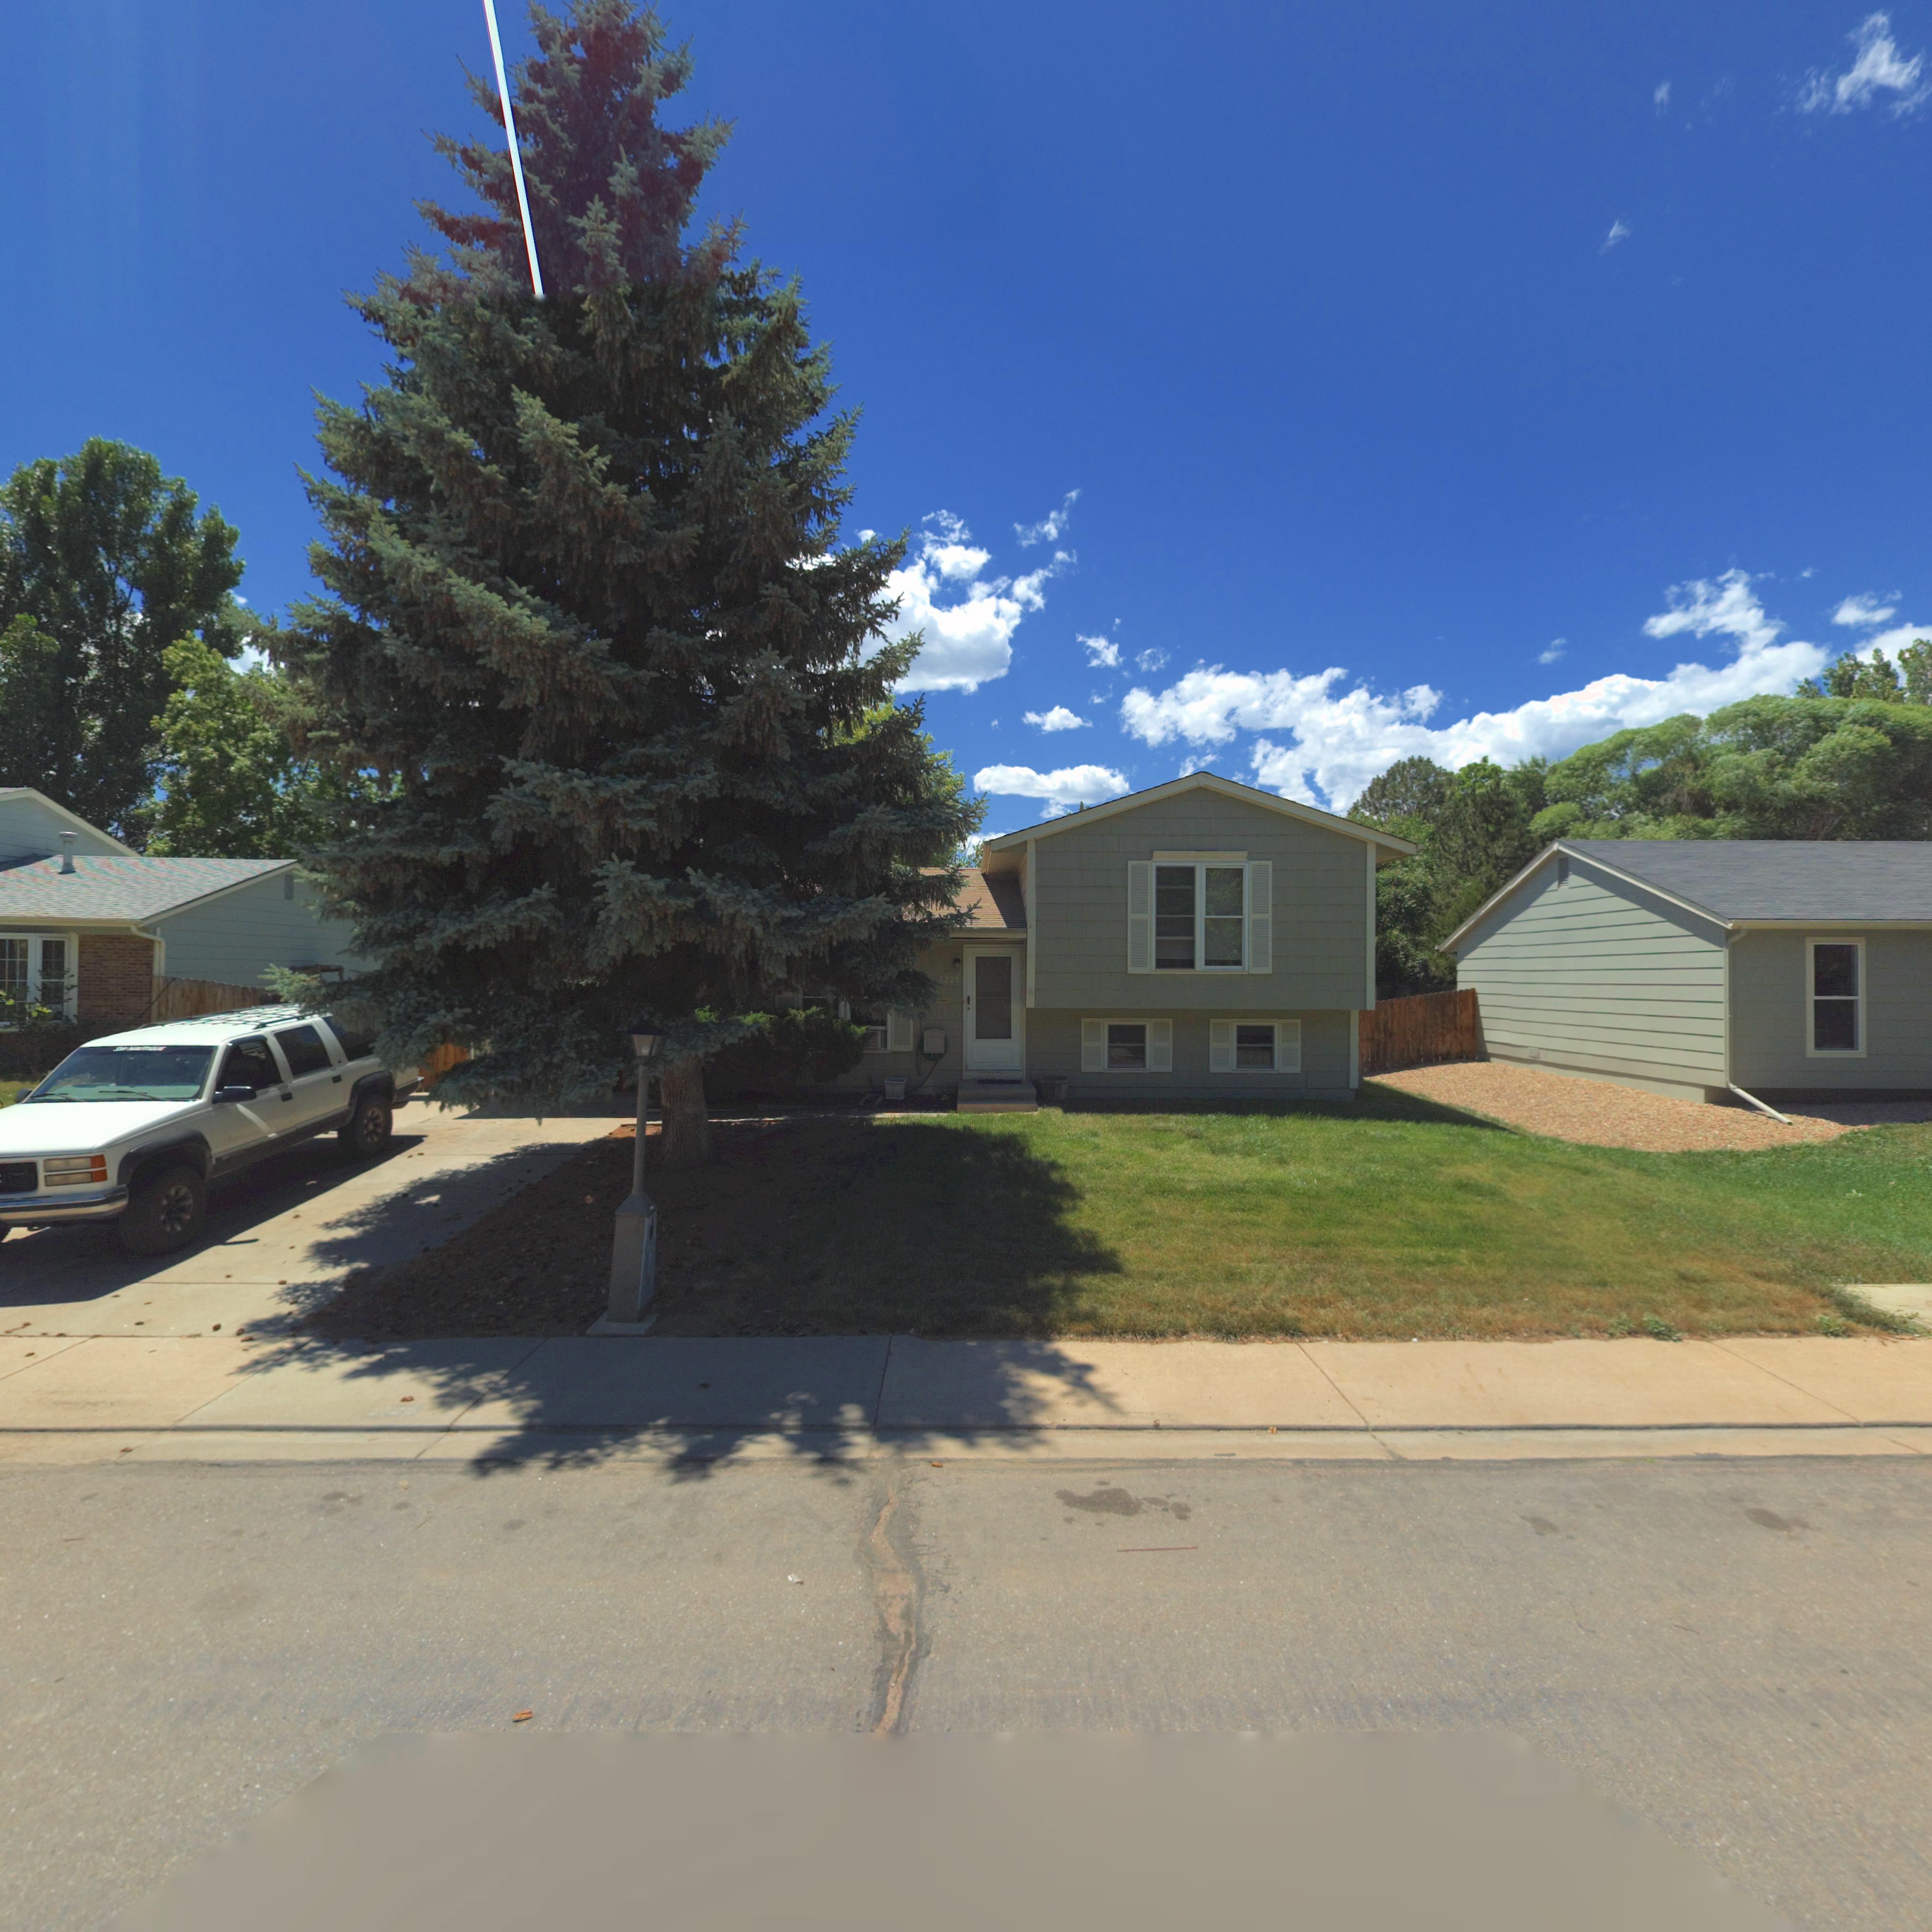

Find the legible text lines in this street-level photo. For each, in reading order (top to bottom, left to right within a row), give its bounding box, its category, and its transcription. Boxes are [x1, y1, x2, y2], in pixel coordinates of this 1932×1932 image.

[938, 976, 959, 983] StreetNumber: 2225